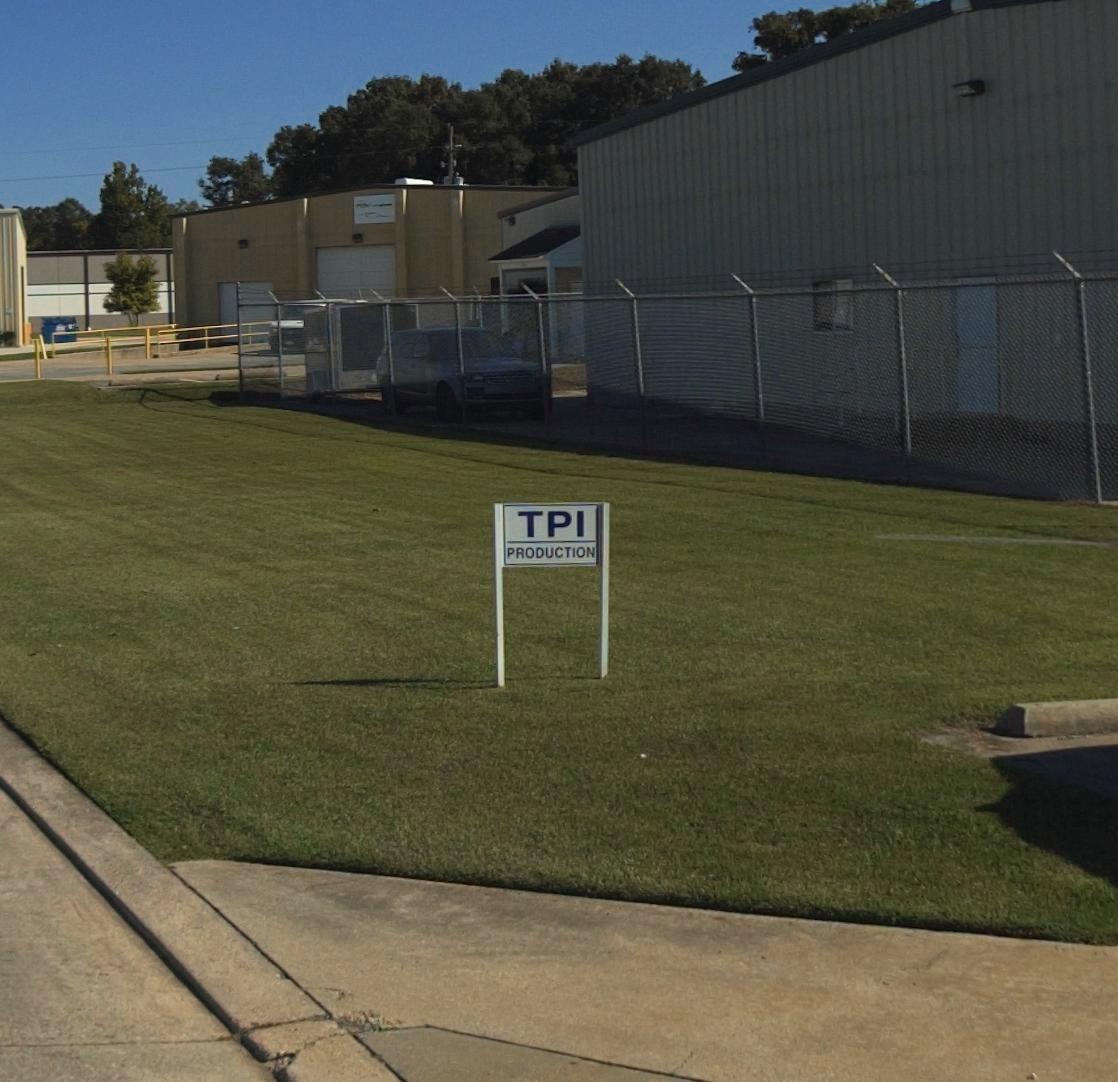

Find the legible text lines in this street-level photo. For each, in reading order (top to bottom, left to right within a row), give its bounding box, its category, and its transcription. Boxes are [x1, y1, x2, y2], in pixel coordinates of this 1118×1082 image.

[515, 507, 587, 540] BusinessName: TPI
[505, 544, 598, 561] BusinessName: PRODUCTION